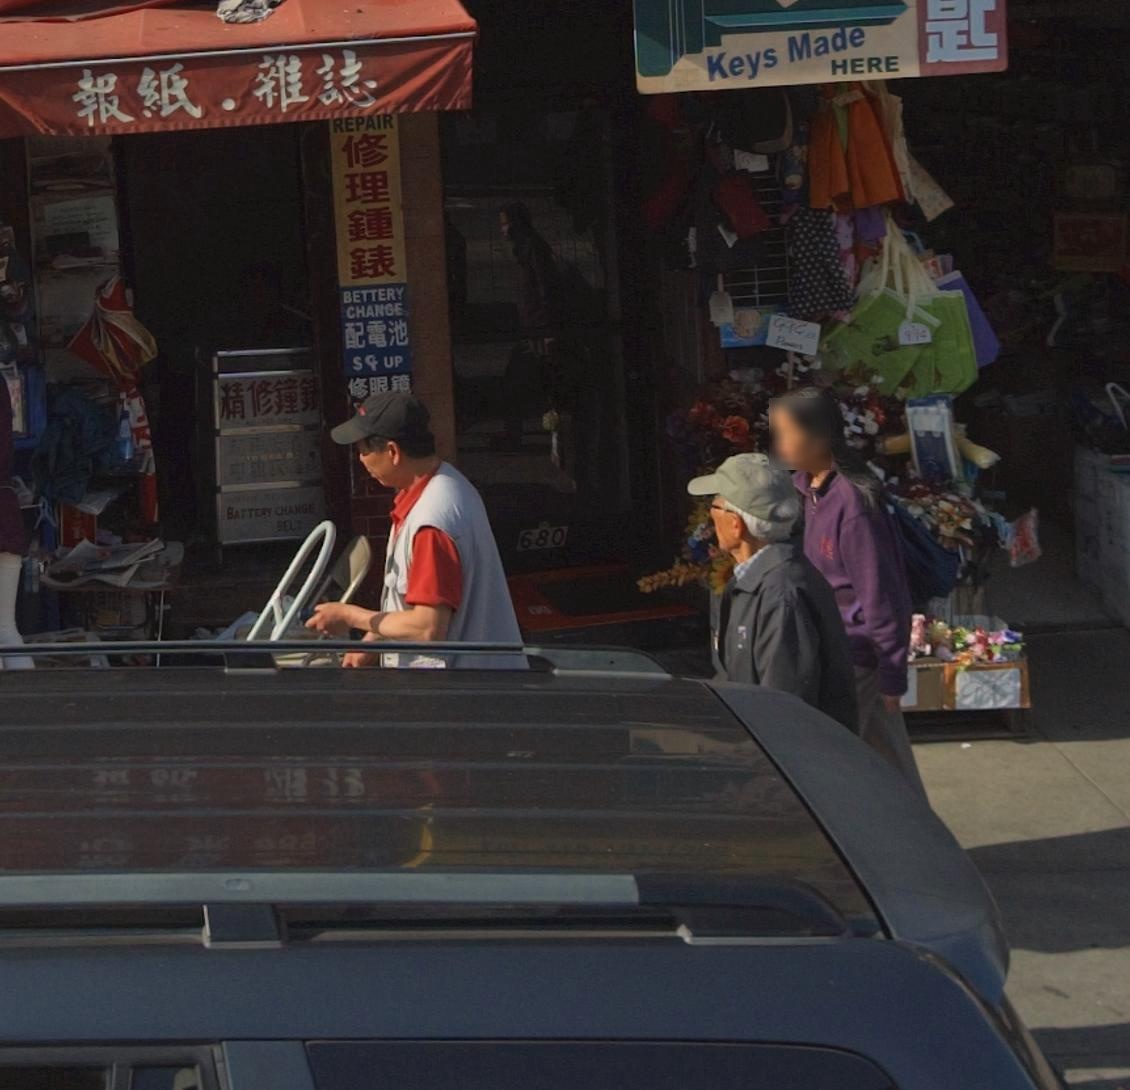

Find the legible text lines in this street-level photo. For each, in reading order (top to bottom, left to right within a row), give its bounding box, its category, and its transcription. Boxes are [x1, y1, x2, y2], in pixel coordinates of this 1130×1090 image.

[705, 24, 867, 84] None: Keys Made
[830, 54, 900, 76] None: HERE
[331, 112, 395, 135] None: REPAIR
[343, 286, 405, 304] None: BETTERY
[345, 302, 404, 320] None: CHANGE
[350, 354, 364, 372] None: S
[382, 353, 404, 371] None: UP
[225, 501, 316, 521] None: BATTERY CHANGE
[274, 517, 303, 535] None: BELT
[516, 528, 566, 549] StreetNumber: 680